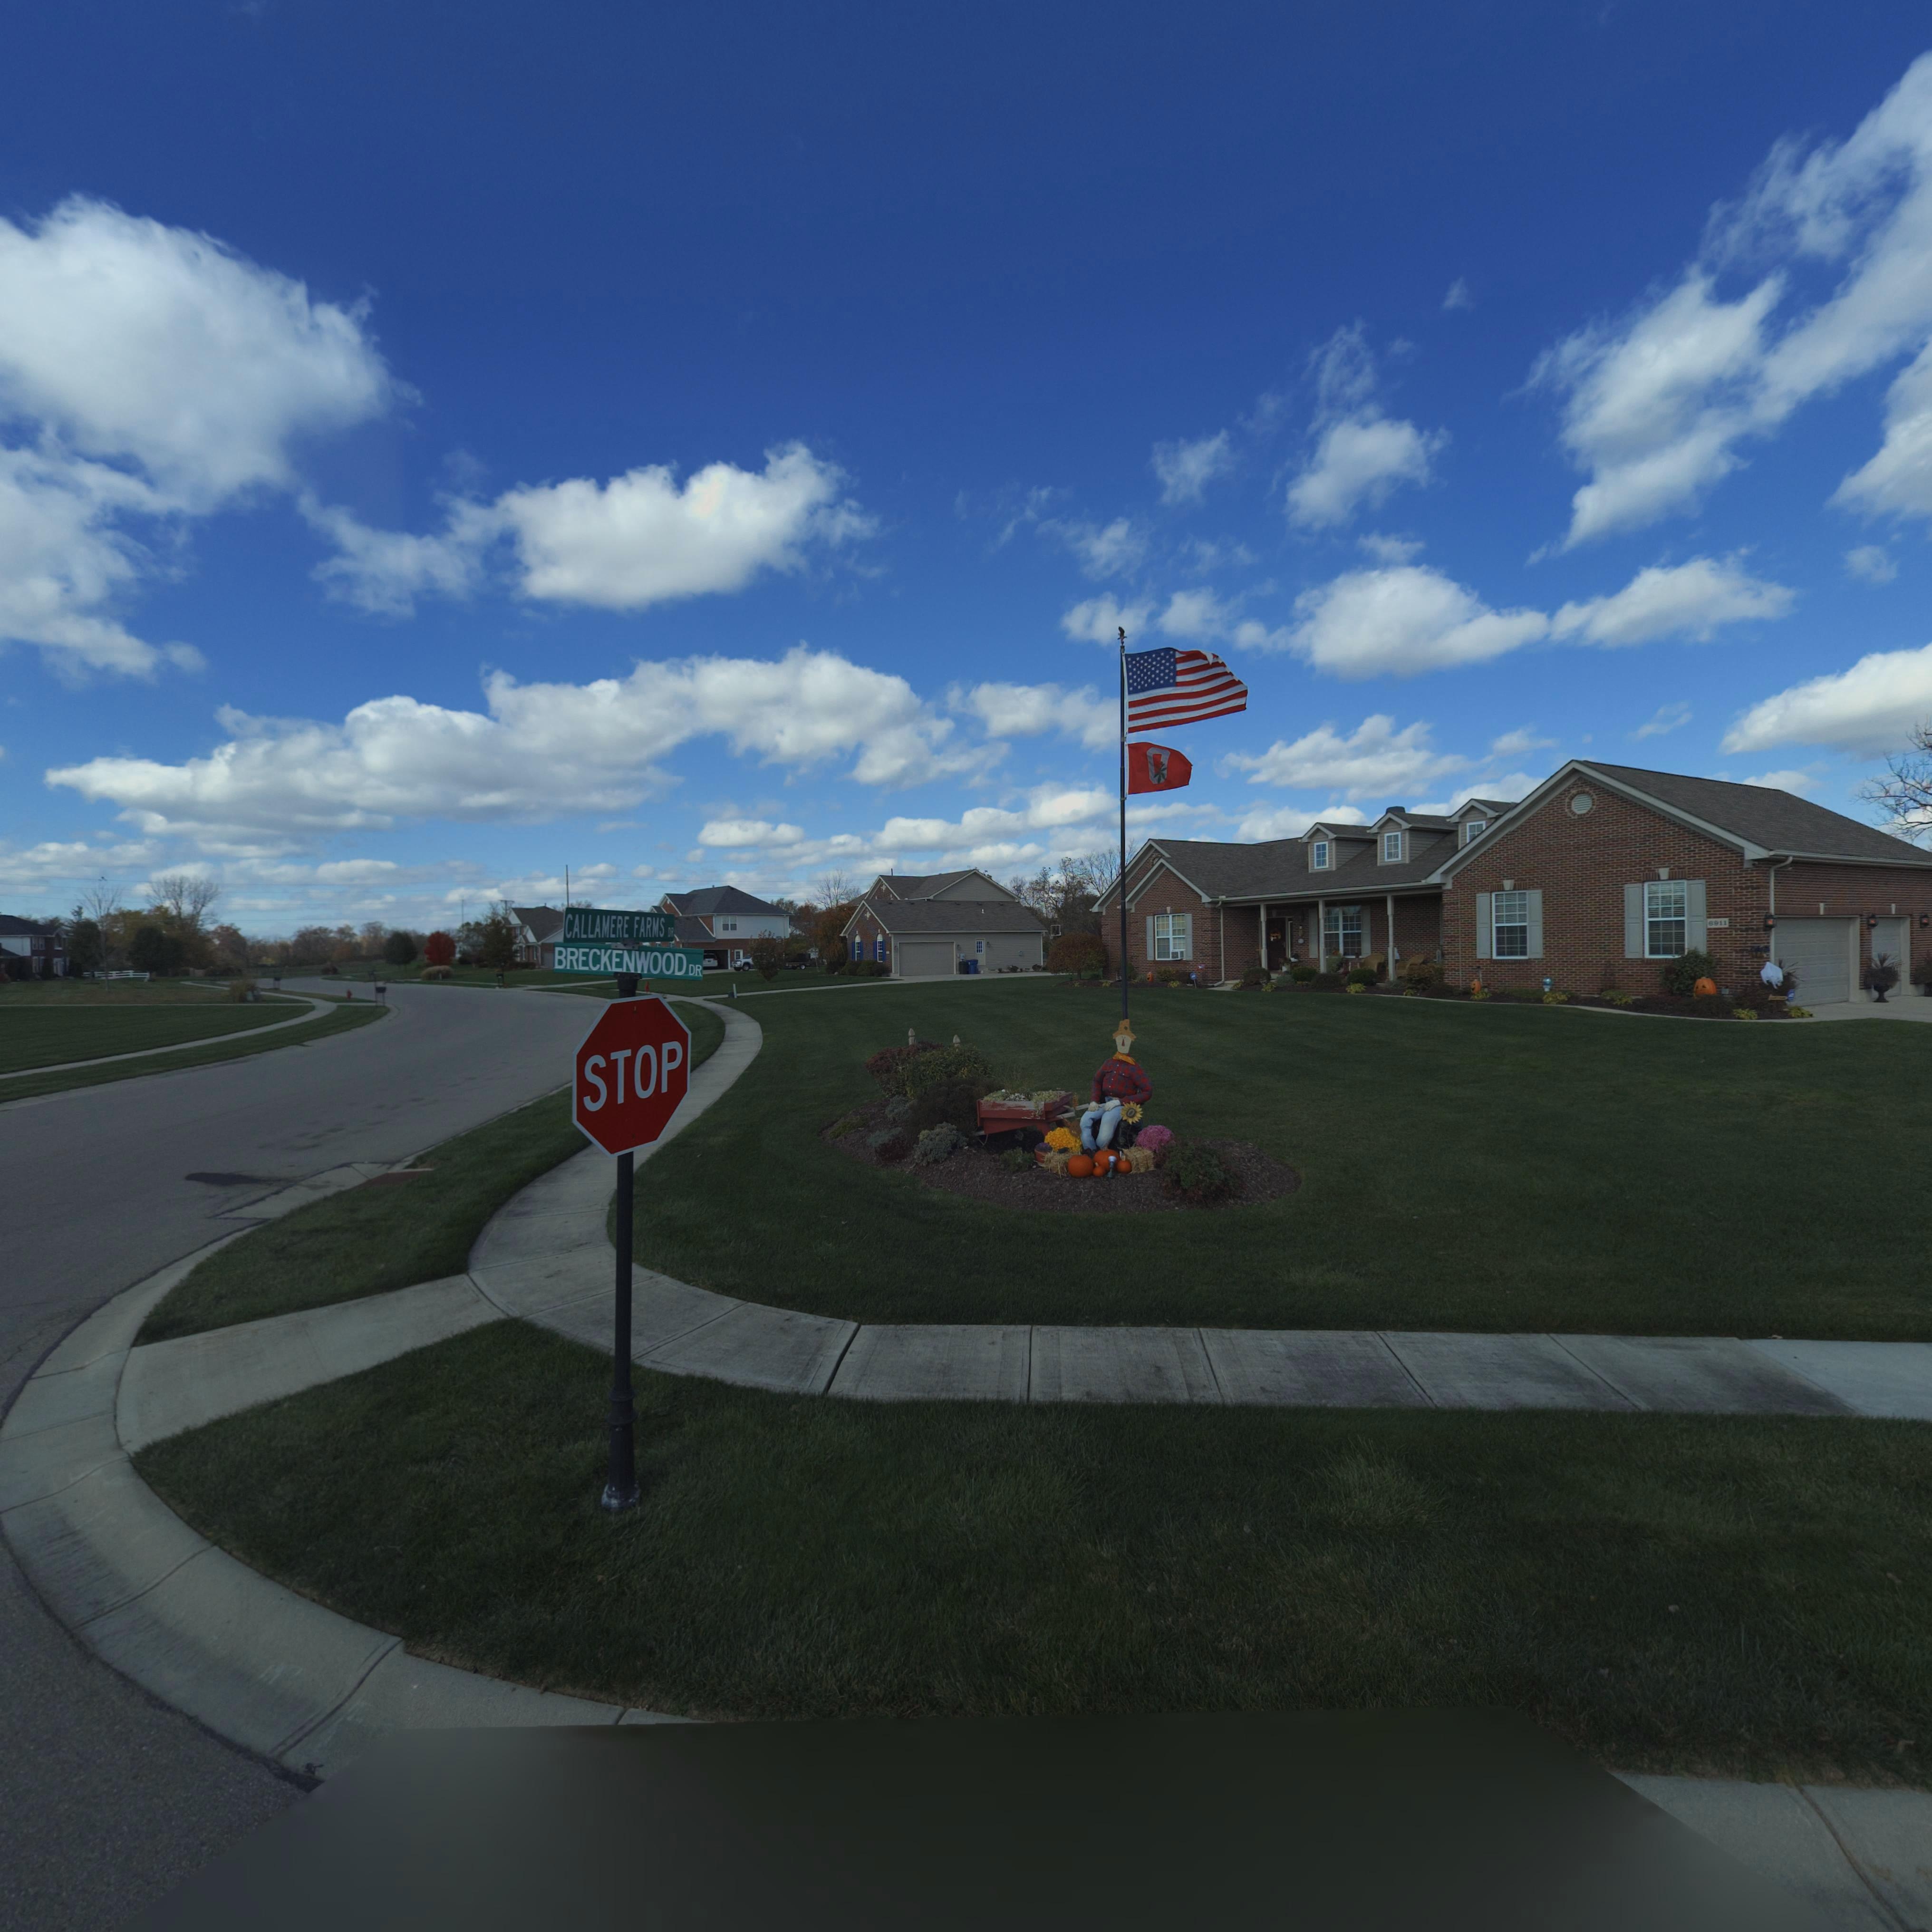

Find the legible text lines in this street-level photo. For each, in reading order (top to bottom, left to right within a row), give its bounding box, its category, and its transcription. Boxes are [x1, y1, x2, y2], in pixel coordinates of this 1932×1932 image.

[564, 913, 675, 939] StreetName: CALLAMERE FARMS DR
[553, 946, 704, 977] StreetName: BRECKENWOOD DR